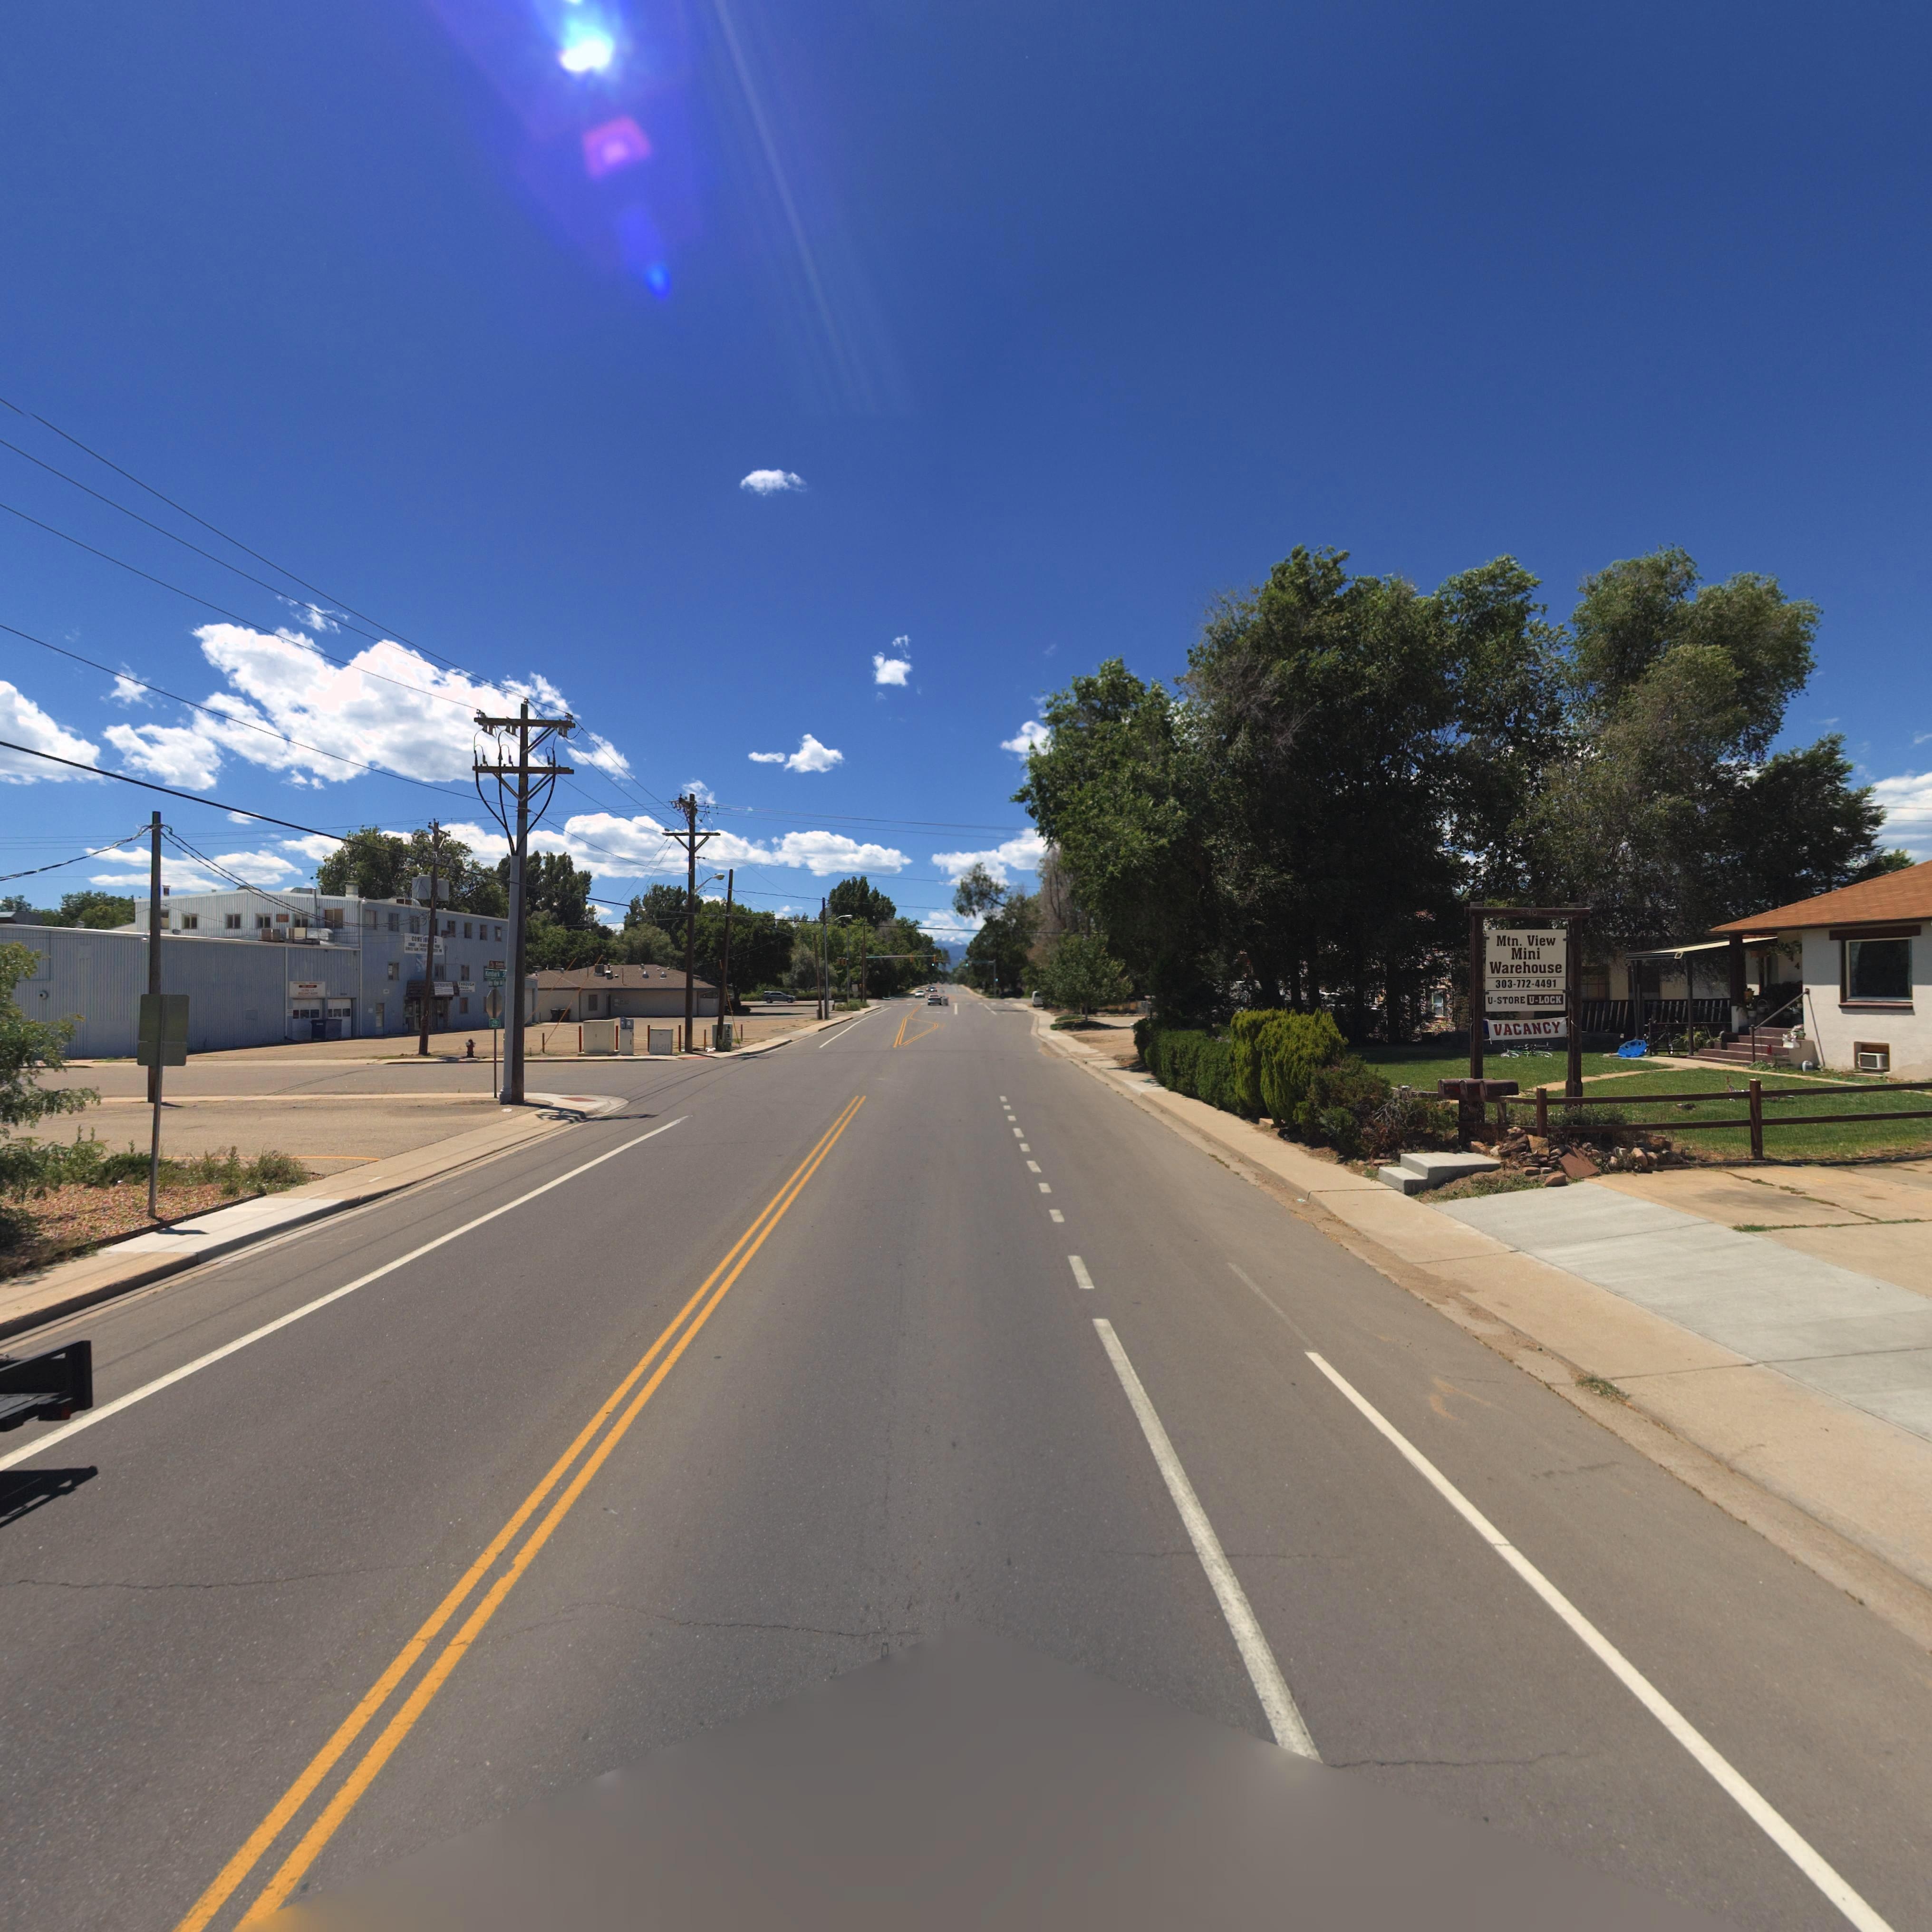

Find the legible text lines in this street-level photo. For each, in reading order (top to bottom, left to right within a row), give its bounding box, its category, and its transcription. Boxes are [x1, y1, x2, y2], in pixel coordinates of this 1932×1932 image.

[1520, 908, 1537, 916] StreetNumber: 440
[1496, 935, 1556, 946] BusinessName: Mtn. View
[1511, 947, 1541, 960] BusinessName: Mini
[1488, 961, 1562, 974] BusinessName: Warehouse
[1787, 955, 1800, 970] StreetNumber: 44
[485, 970, 506, 977] StreetName: Kimbark S*
[488, 980, 503, 986] StreetName: Mtn View A*